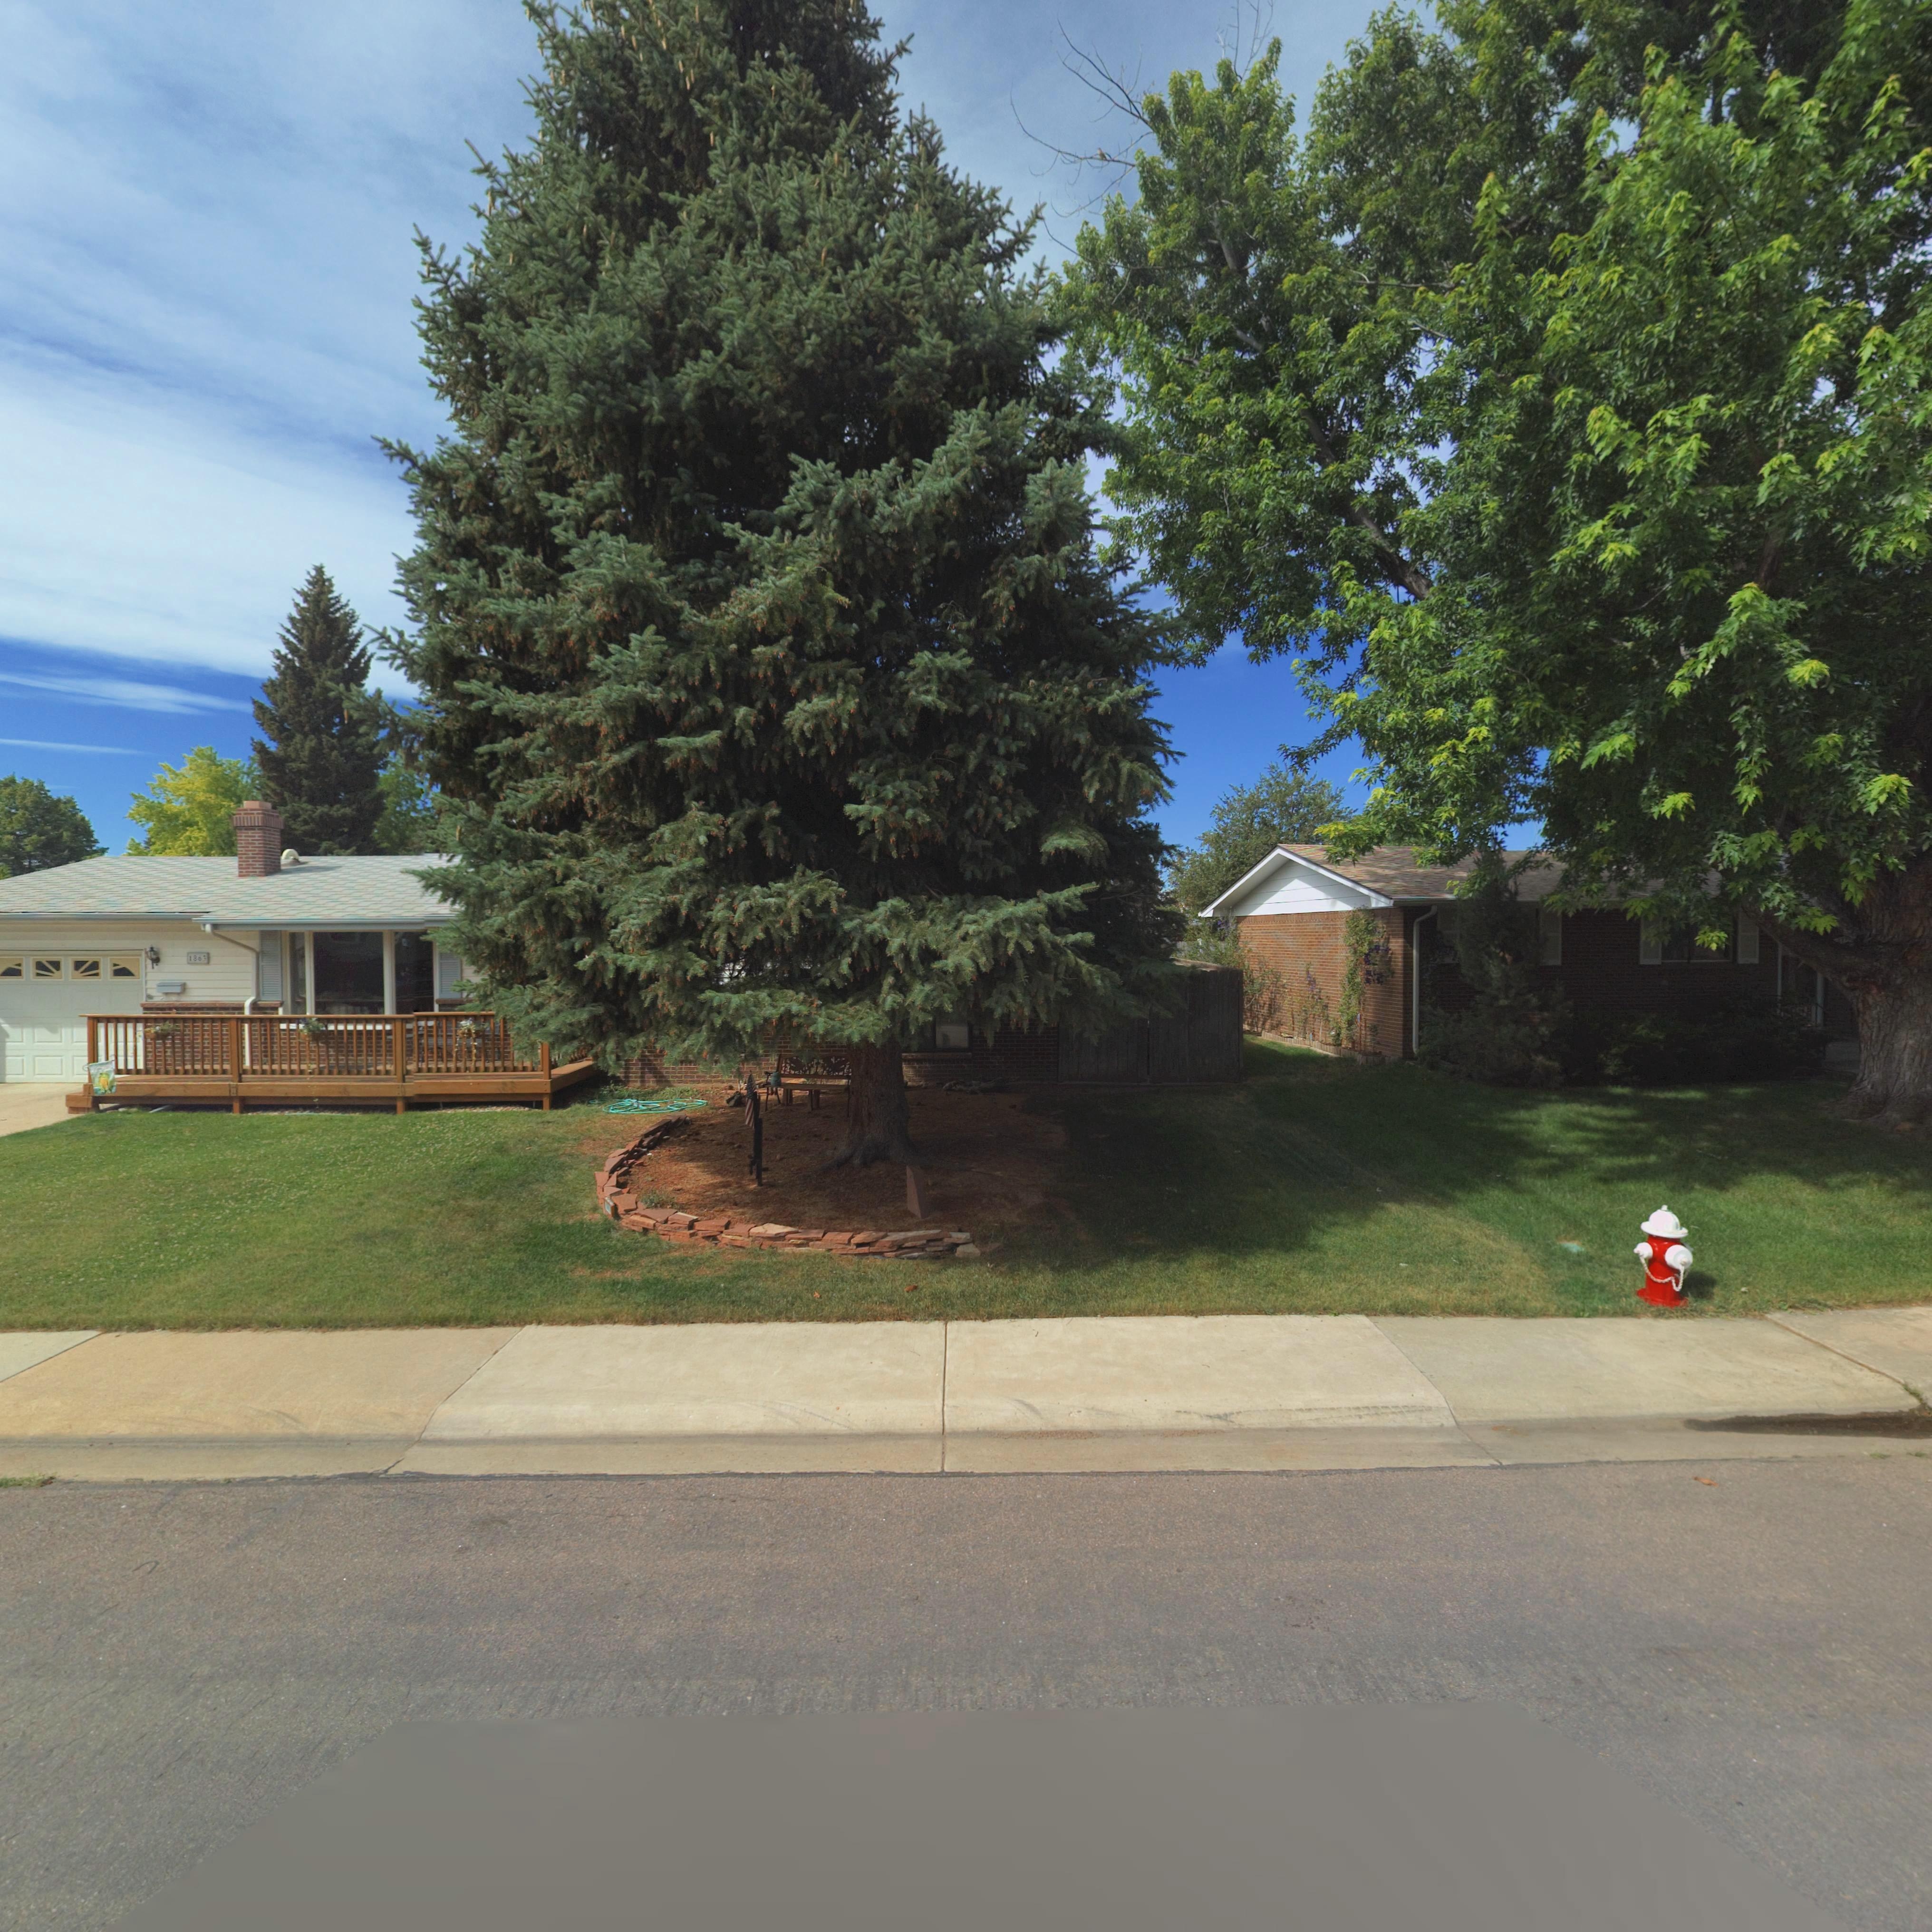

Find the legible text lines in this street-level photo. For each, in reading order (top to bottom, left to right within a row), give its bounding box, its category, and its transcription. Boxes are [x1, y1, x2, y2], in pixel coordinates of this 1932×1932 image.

[189, 954, 206, 962] StreetNumber: 1863